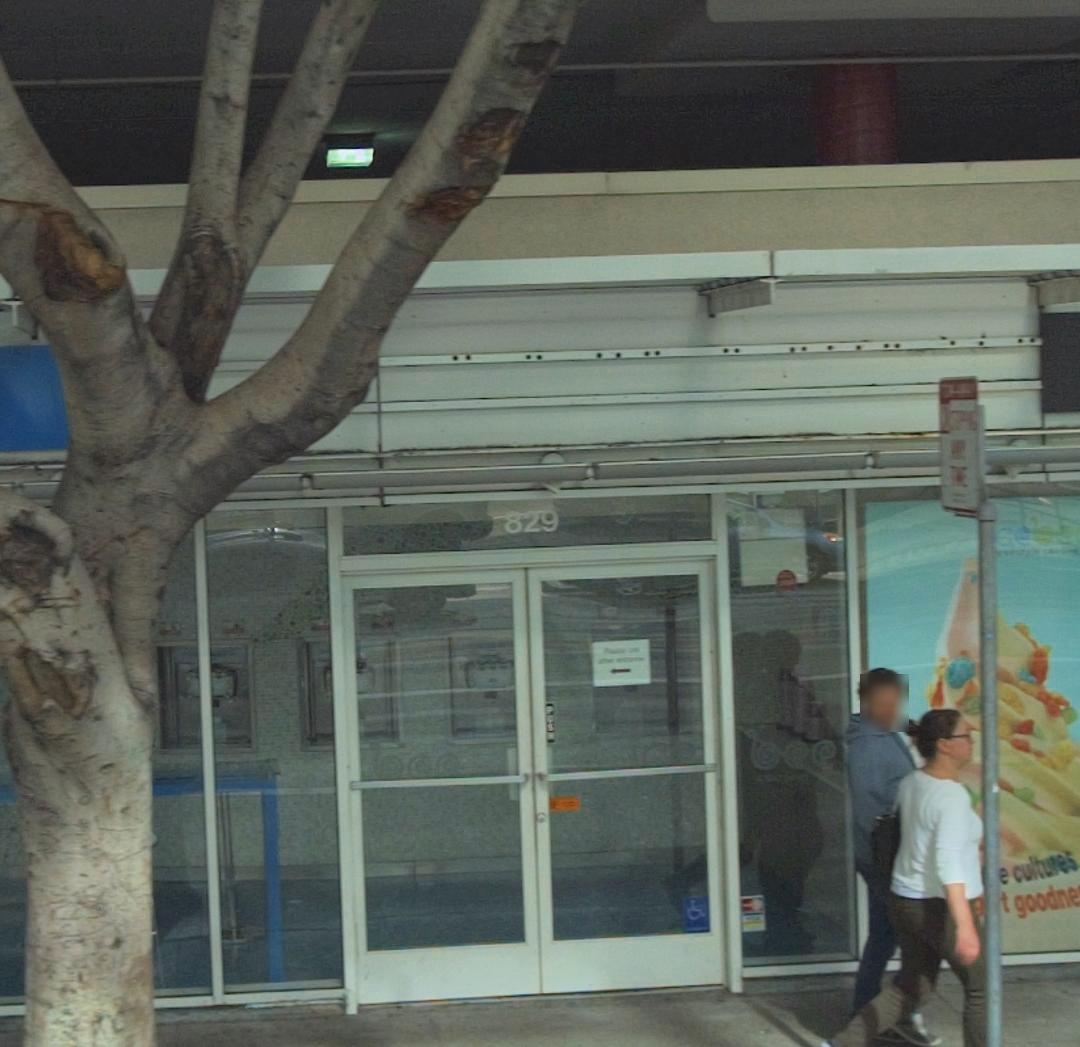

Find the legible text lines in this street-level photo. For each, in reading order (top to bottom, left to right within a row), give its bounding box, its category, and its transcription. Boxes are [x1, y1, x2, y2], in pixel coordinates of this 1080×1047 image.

[500, 505, 562, 538] StreetNumber: 829
[1007, 843, 1080, 891] None: cultures
[1008, 881, 1078, 925] None: goodn